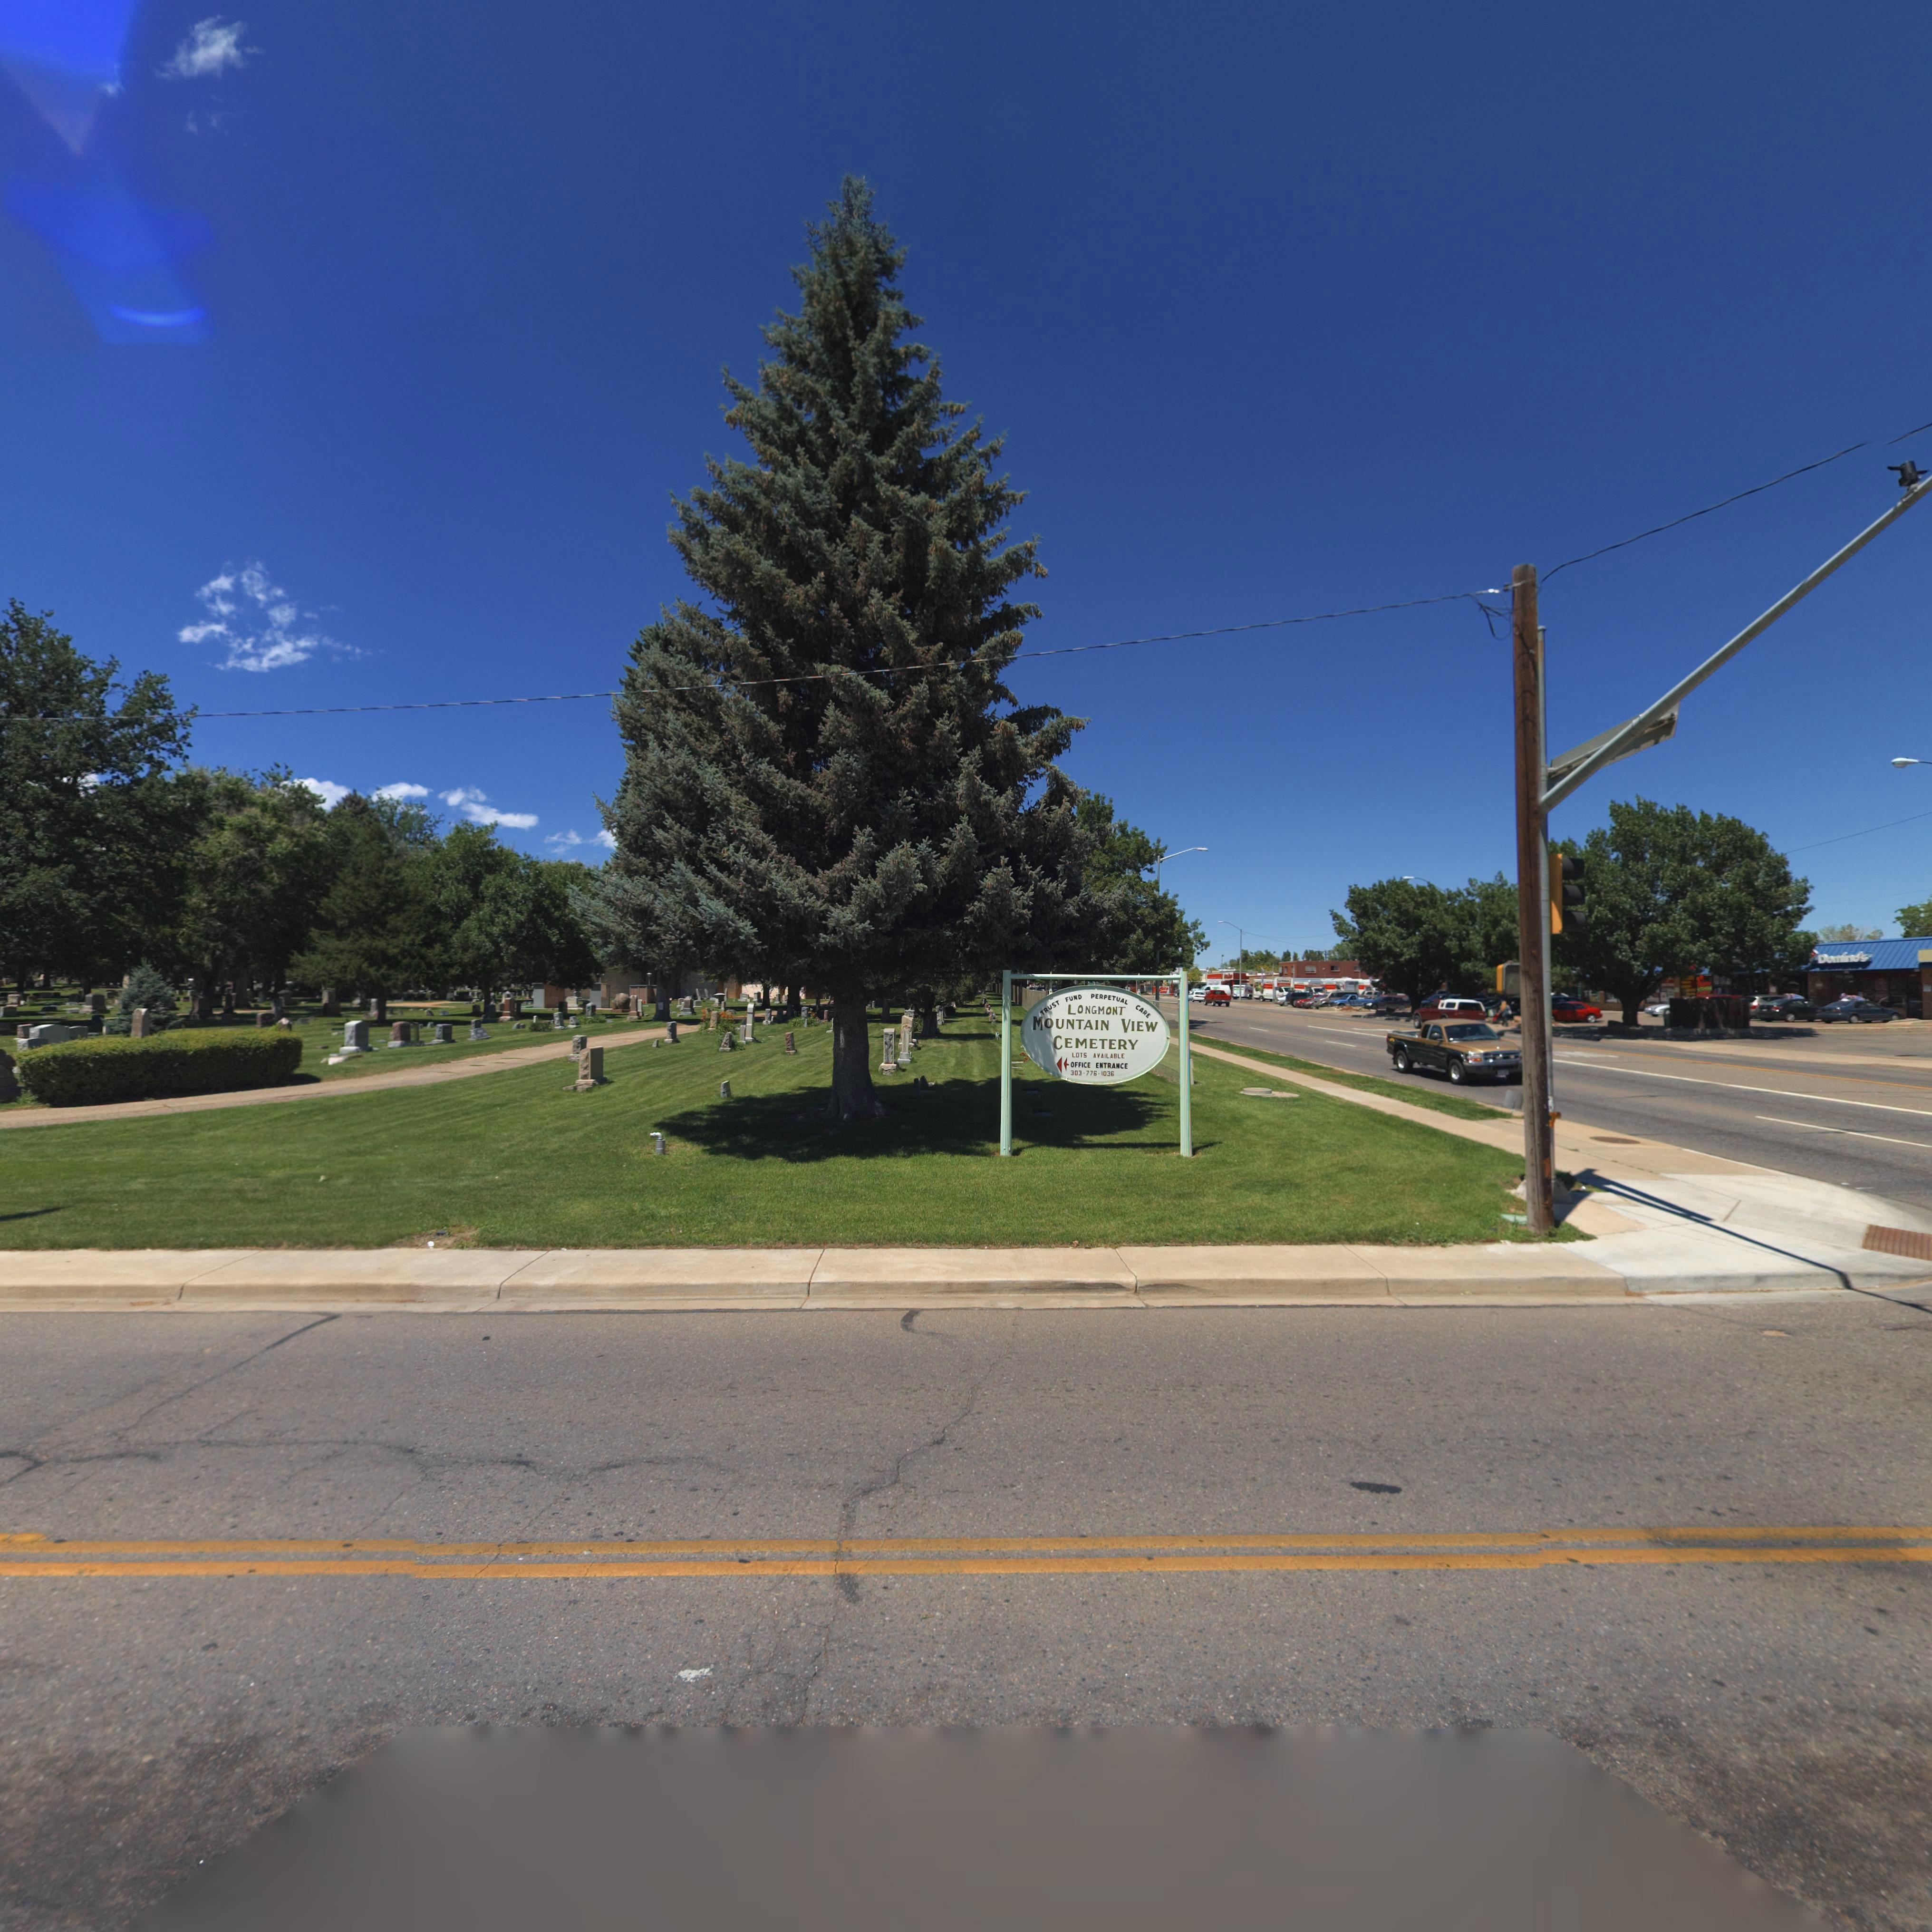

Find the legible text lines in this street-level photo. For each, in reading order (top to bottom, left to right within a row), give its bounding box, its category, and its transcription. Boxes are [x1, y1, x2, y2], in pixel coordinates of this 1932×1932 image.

[1817, 951, 1869, 964] BusinessName: Domino's
[1067, 1004, 1126, 1015] BusinessName: LONGMONT
[1032, 1015, 1158, 1033] BusinessName: MOUTAIN VIEW
[1053, 1034, 1139, 1050] BusinessName: CEMETERY